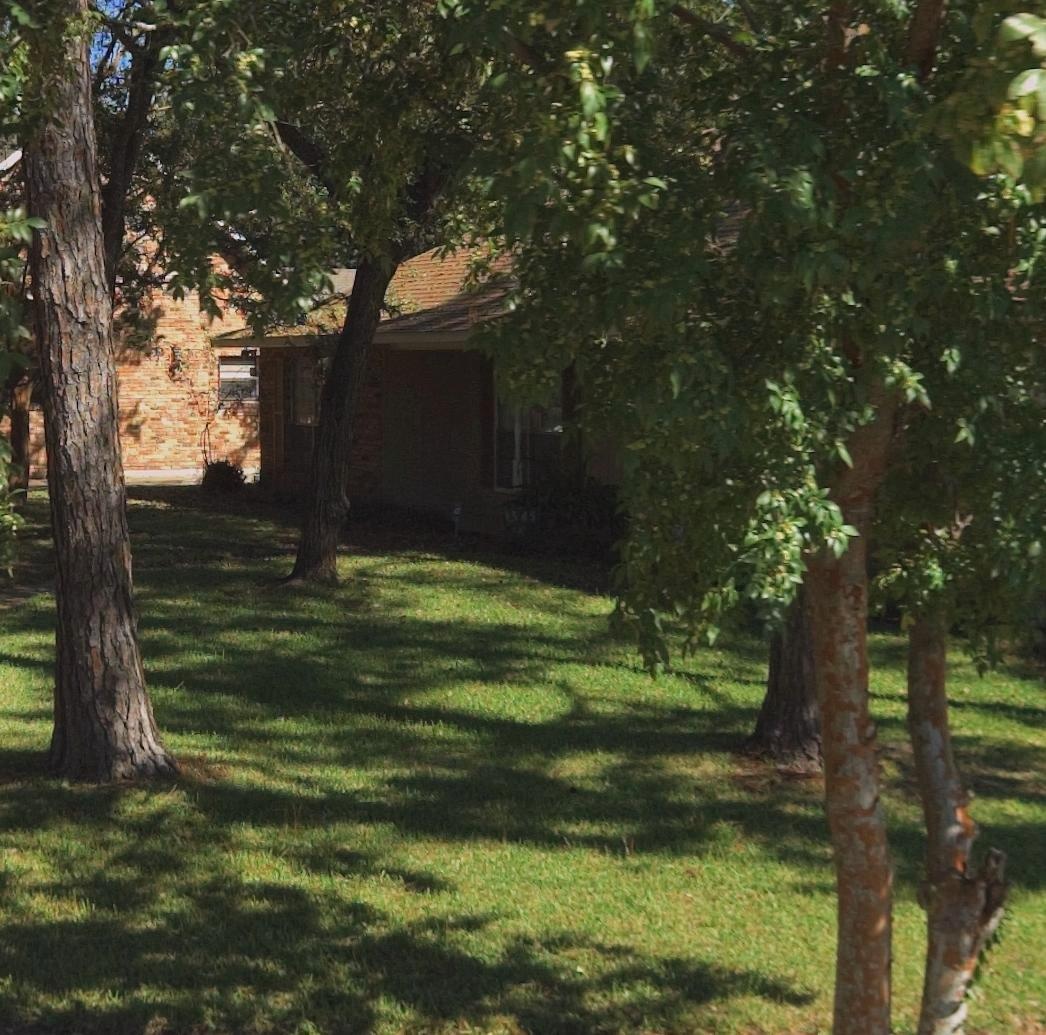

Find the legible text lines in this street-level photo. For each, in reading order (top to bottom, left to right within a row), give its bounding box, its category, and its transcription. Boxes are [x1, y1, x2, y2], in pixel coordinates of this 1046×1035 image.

[503, 508, 537, 524] StreetNumber: 154*